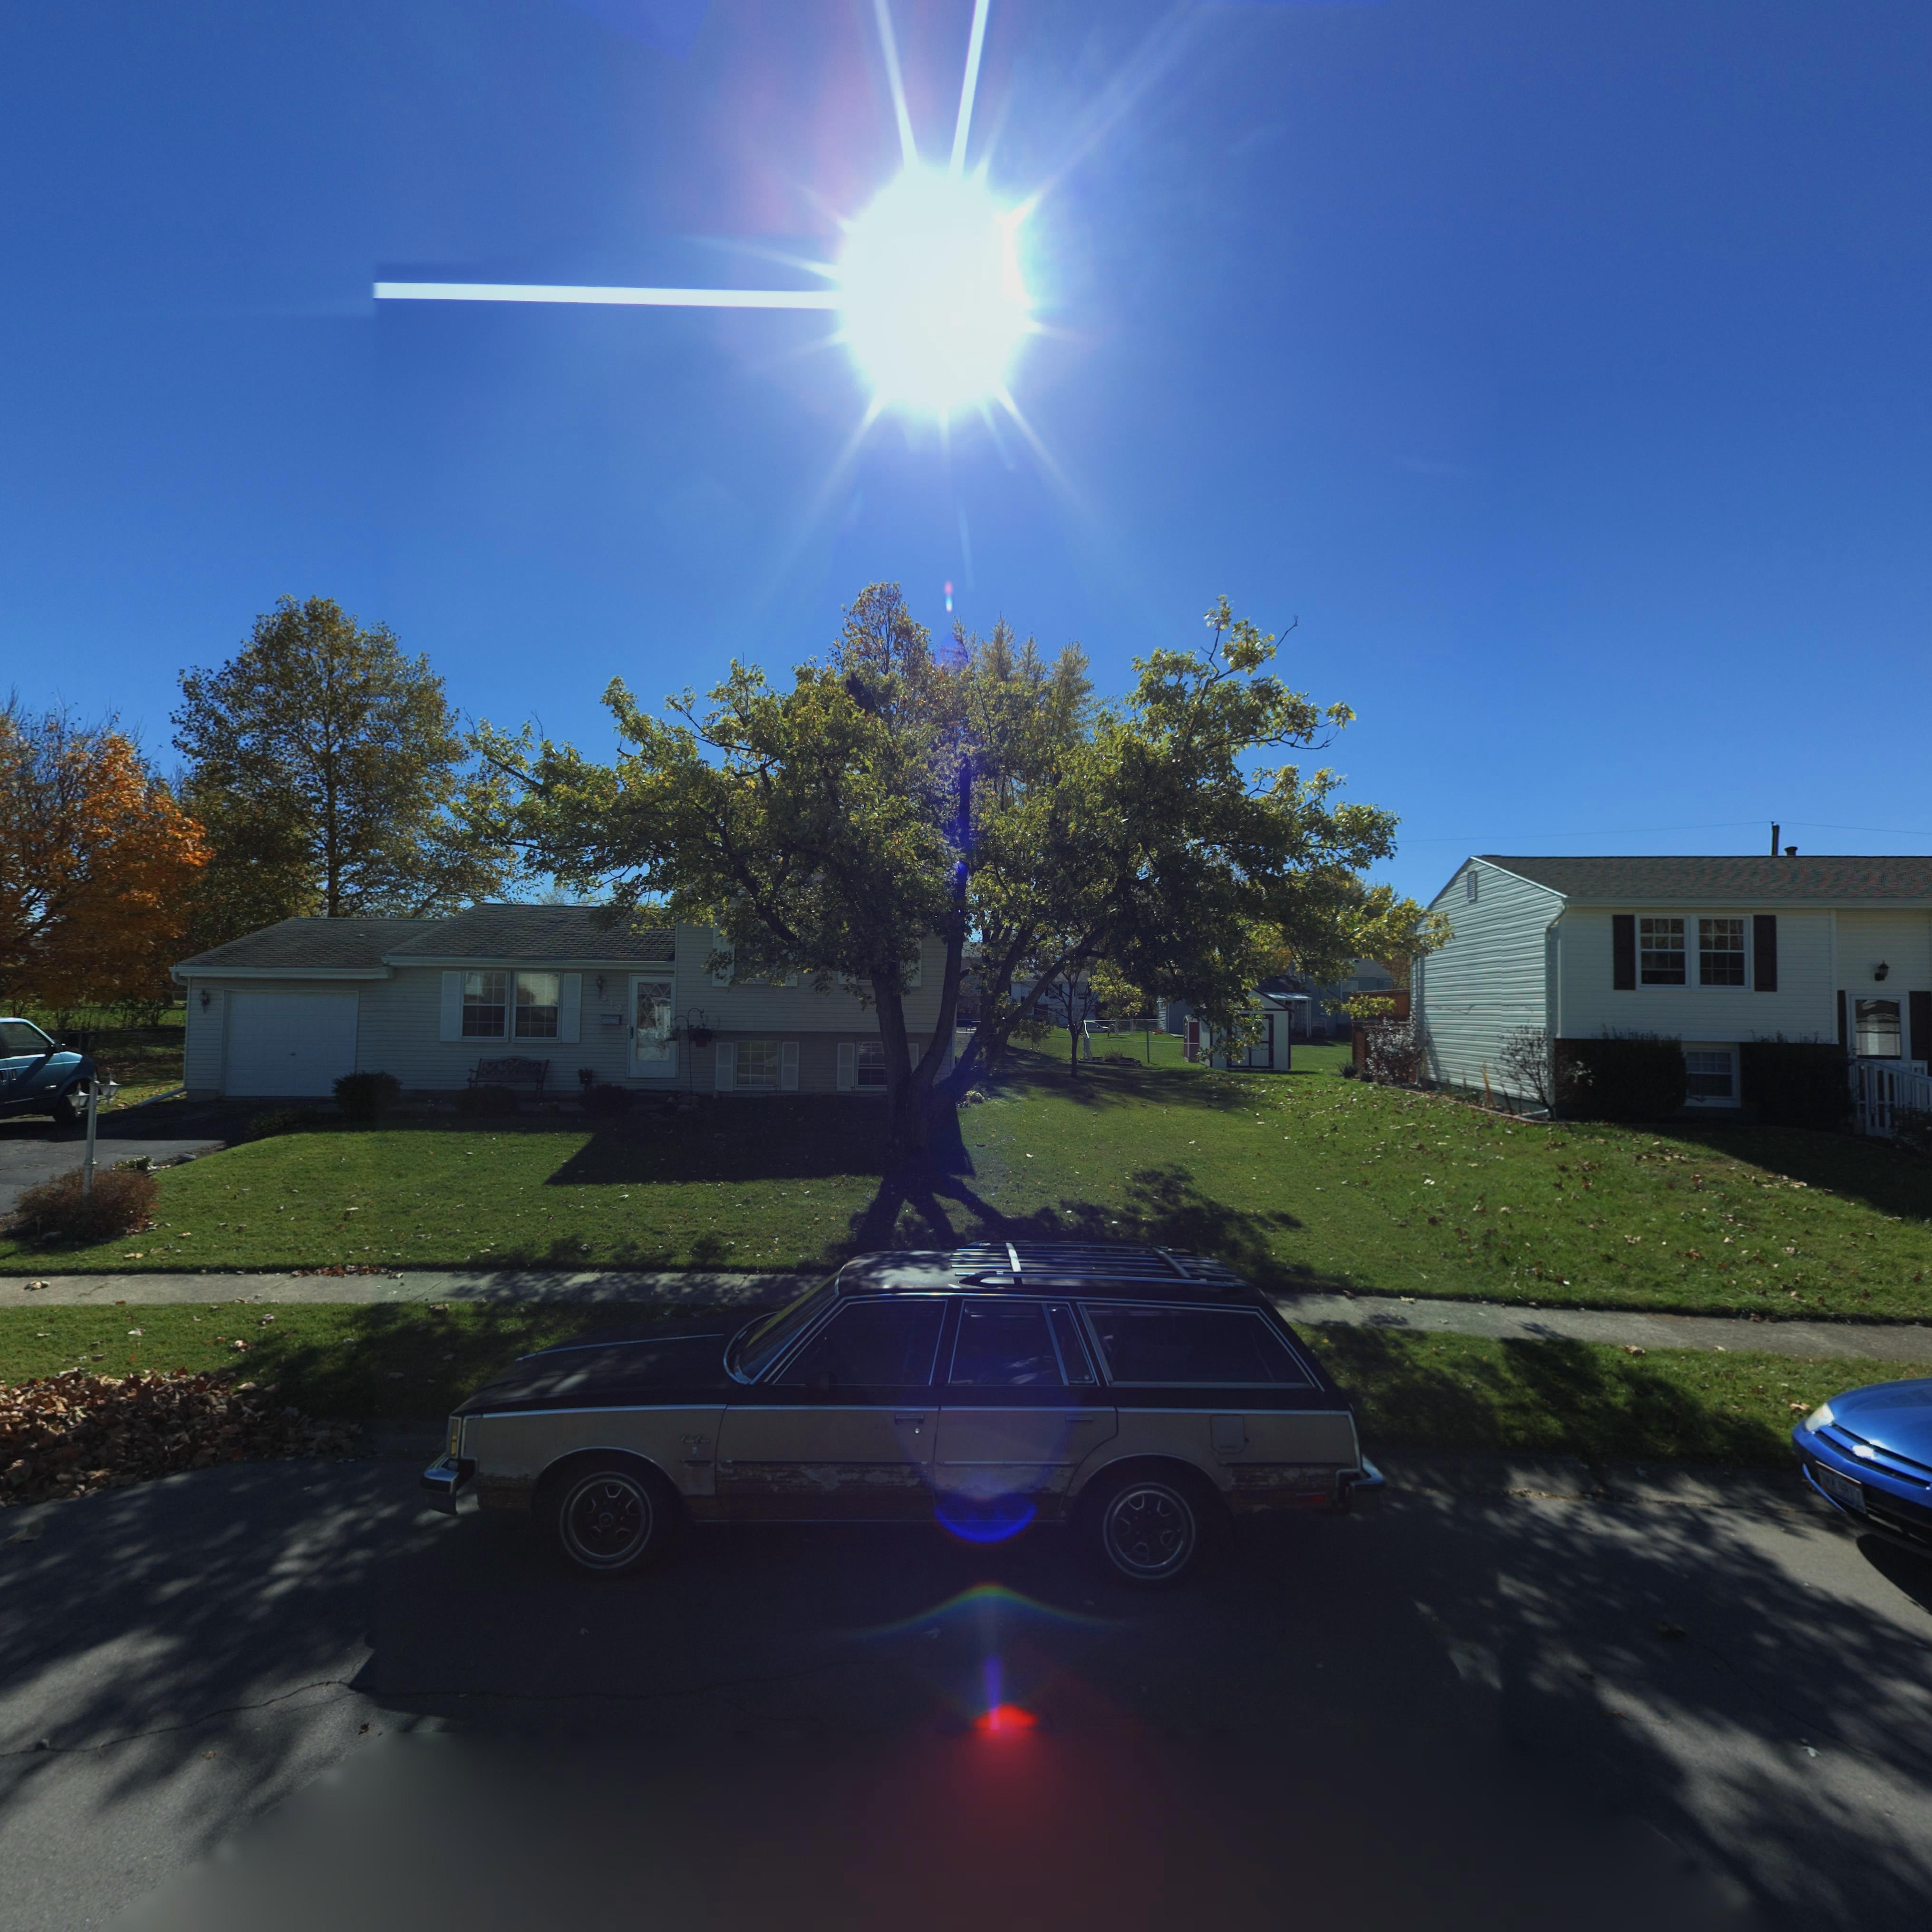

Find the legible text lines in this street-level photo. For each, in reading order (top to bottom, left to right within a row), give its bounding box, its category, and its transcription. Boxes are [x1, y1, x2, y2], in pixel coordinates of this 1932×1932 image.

[601, 994, 623, 1012] StreetNumber: 213